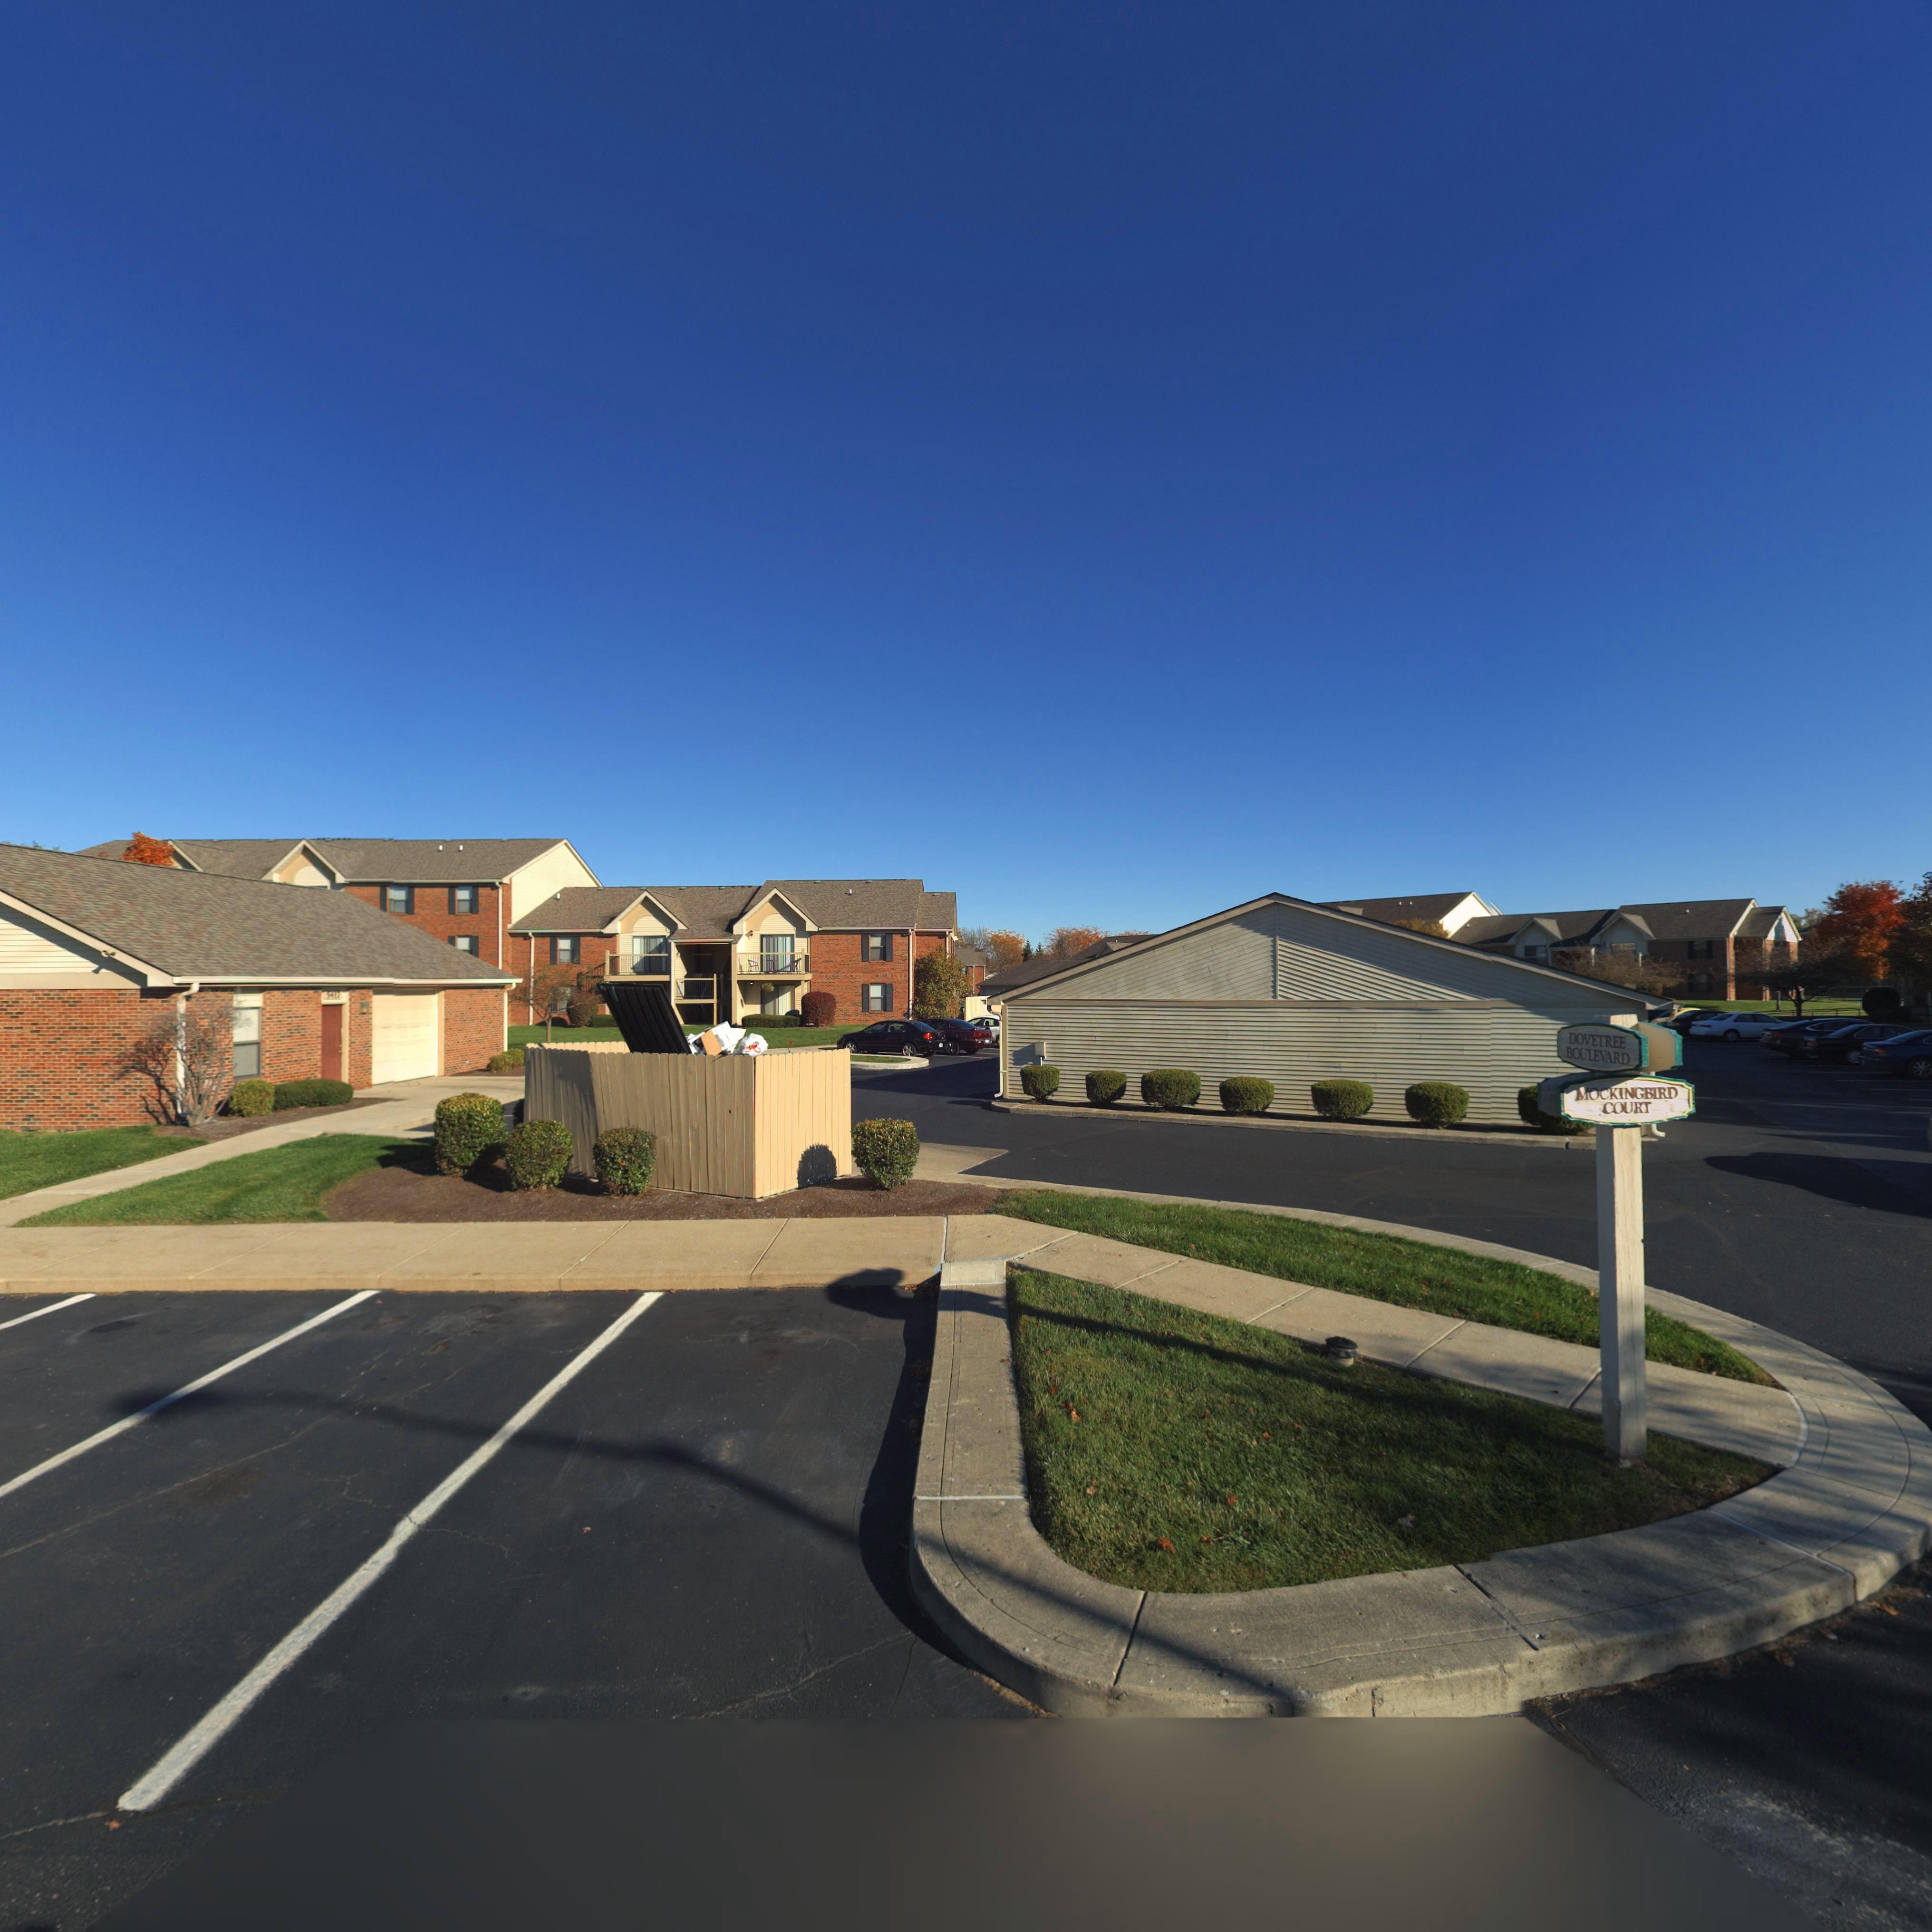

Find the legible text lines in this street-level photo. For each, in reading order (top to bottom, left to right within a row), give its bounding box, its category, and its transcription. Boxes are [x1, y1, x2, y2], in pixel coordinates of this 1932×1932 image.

[326, 990, 340, 998] StreetNumber: 5417